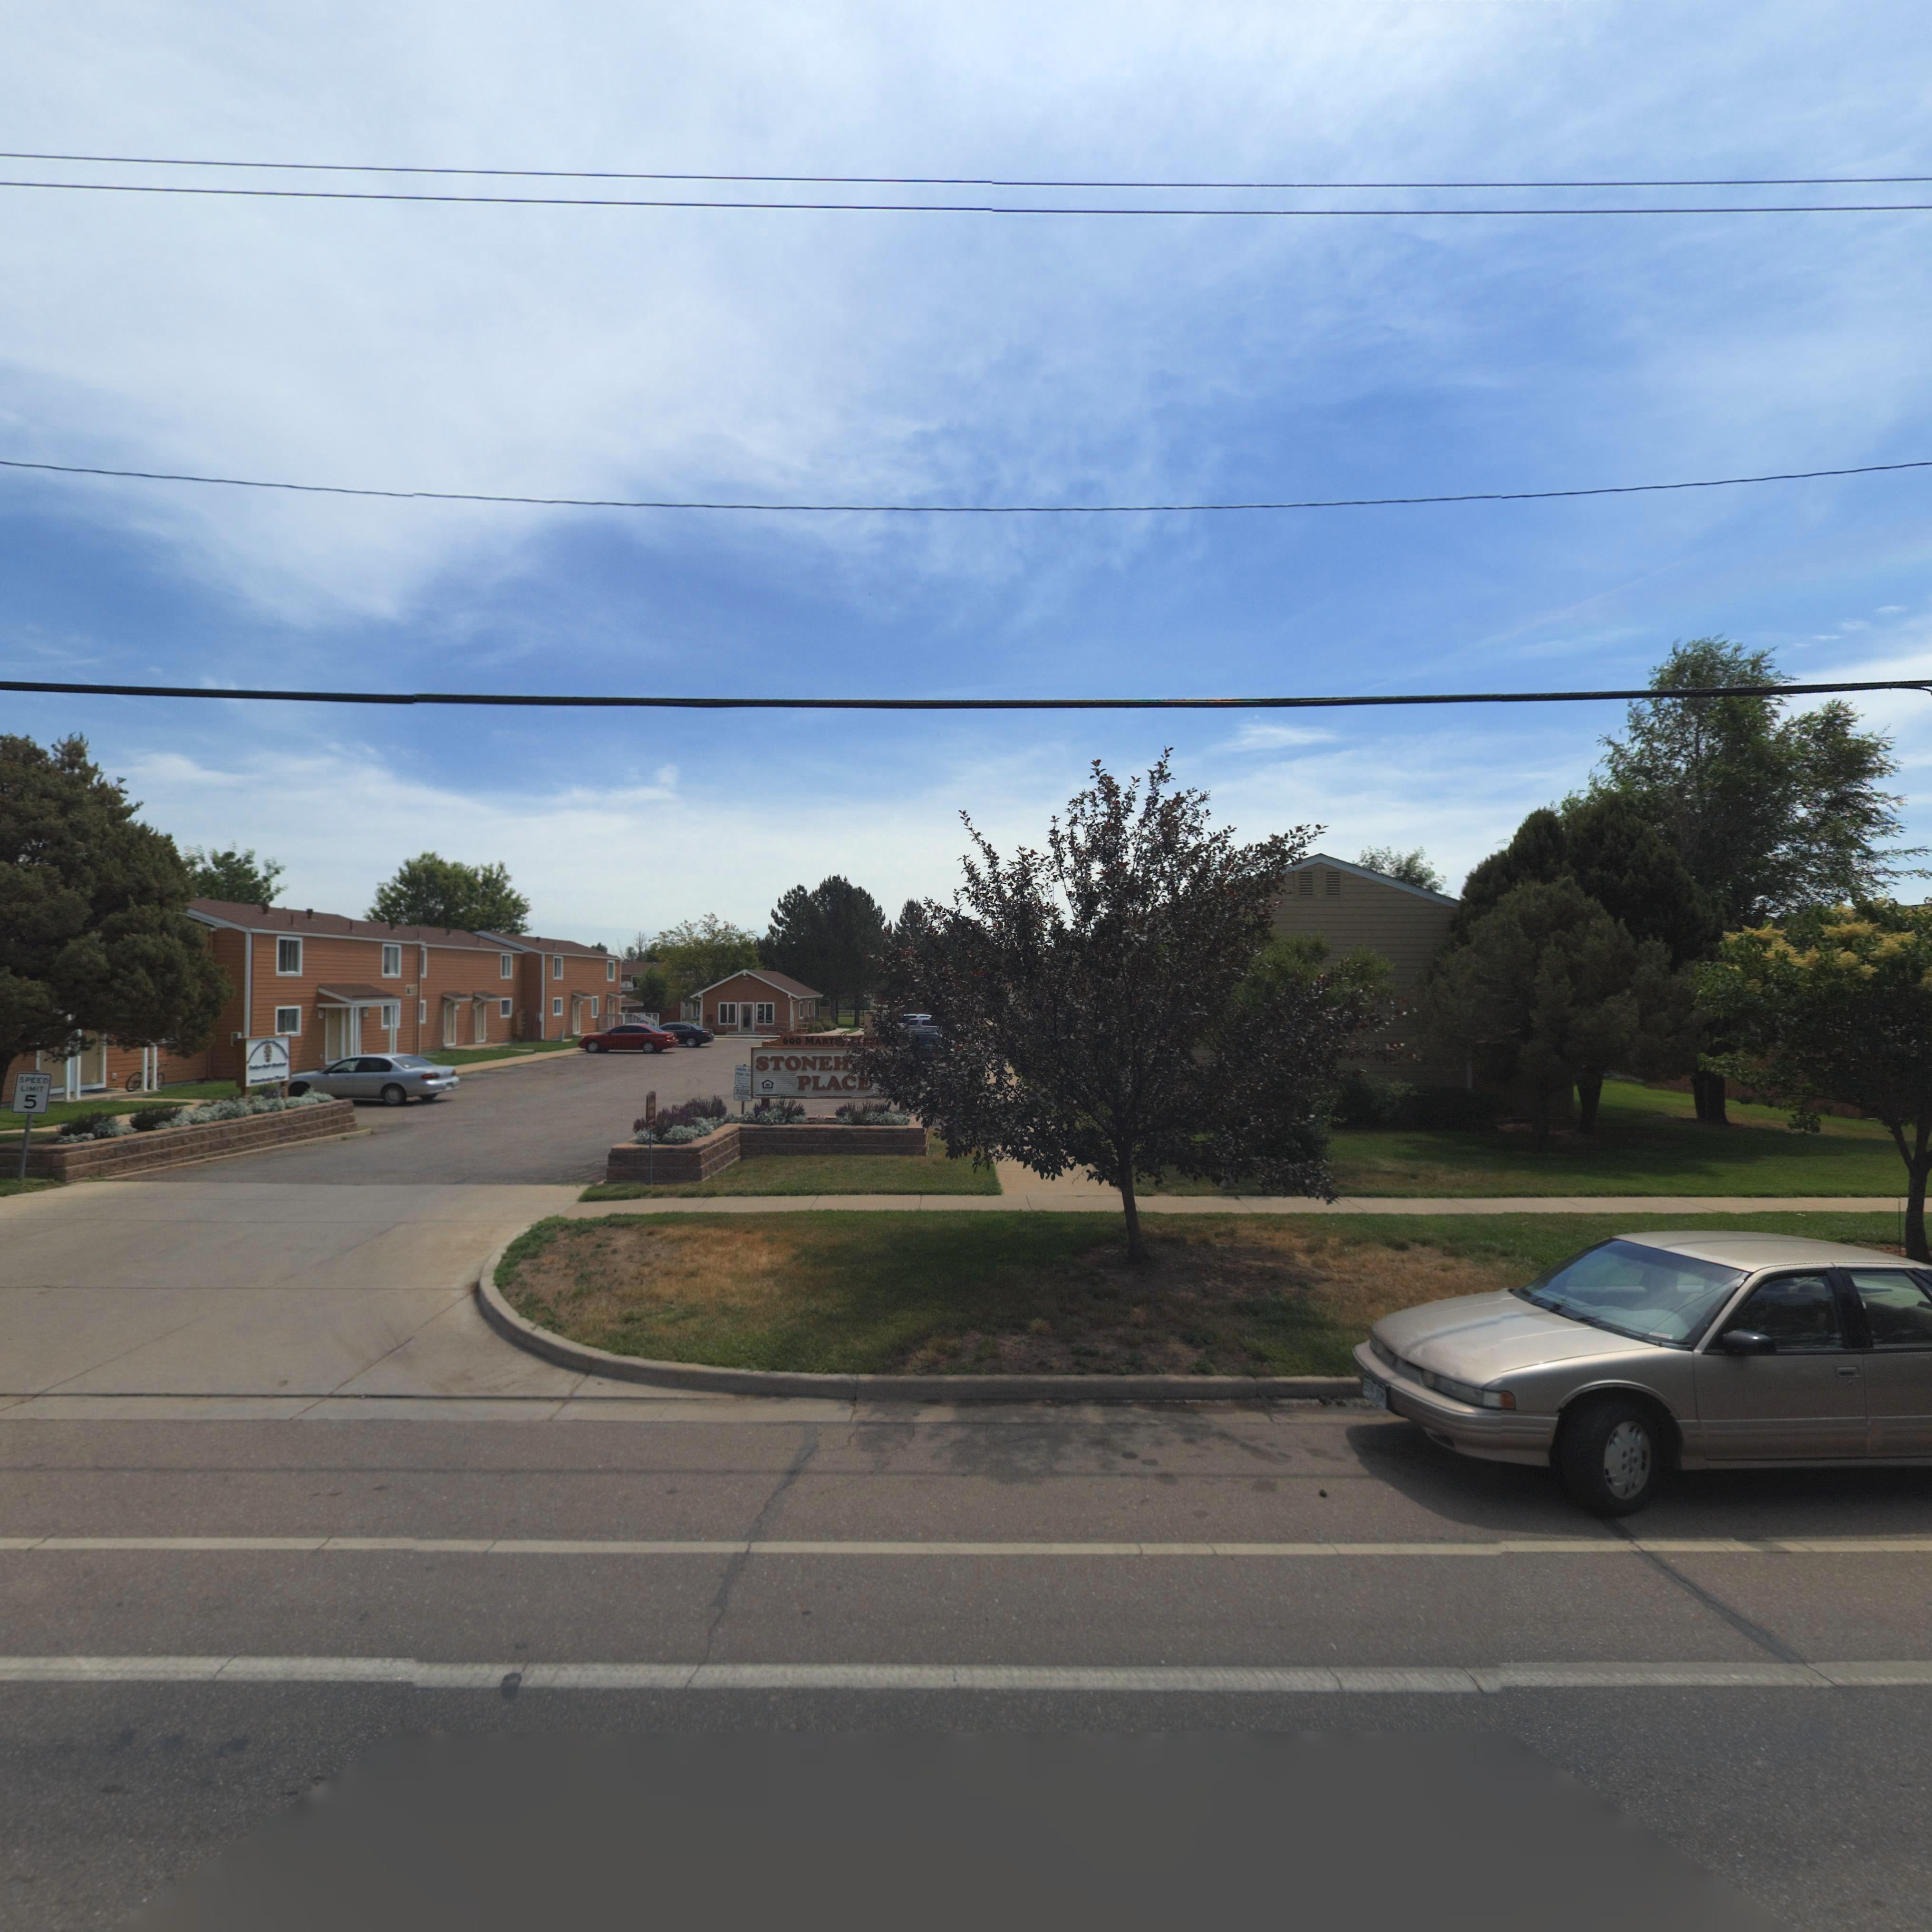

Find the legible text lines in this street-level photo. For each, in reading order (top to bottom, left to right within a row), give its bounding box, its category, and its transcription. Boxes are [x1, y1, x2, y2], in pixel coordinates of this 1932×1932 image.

[782, 1036, 801, 1045] StreetNumber: 600
[805, 1036, 834, 1045] StreetName: MART